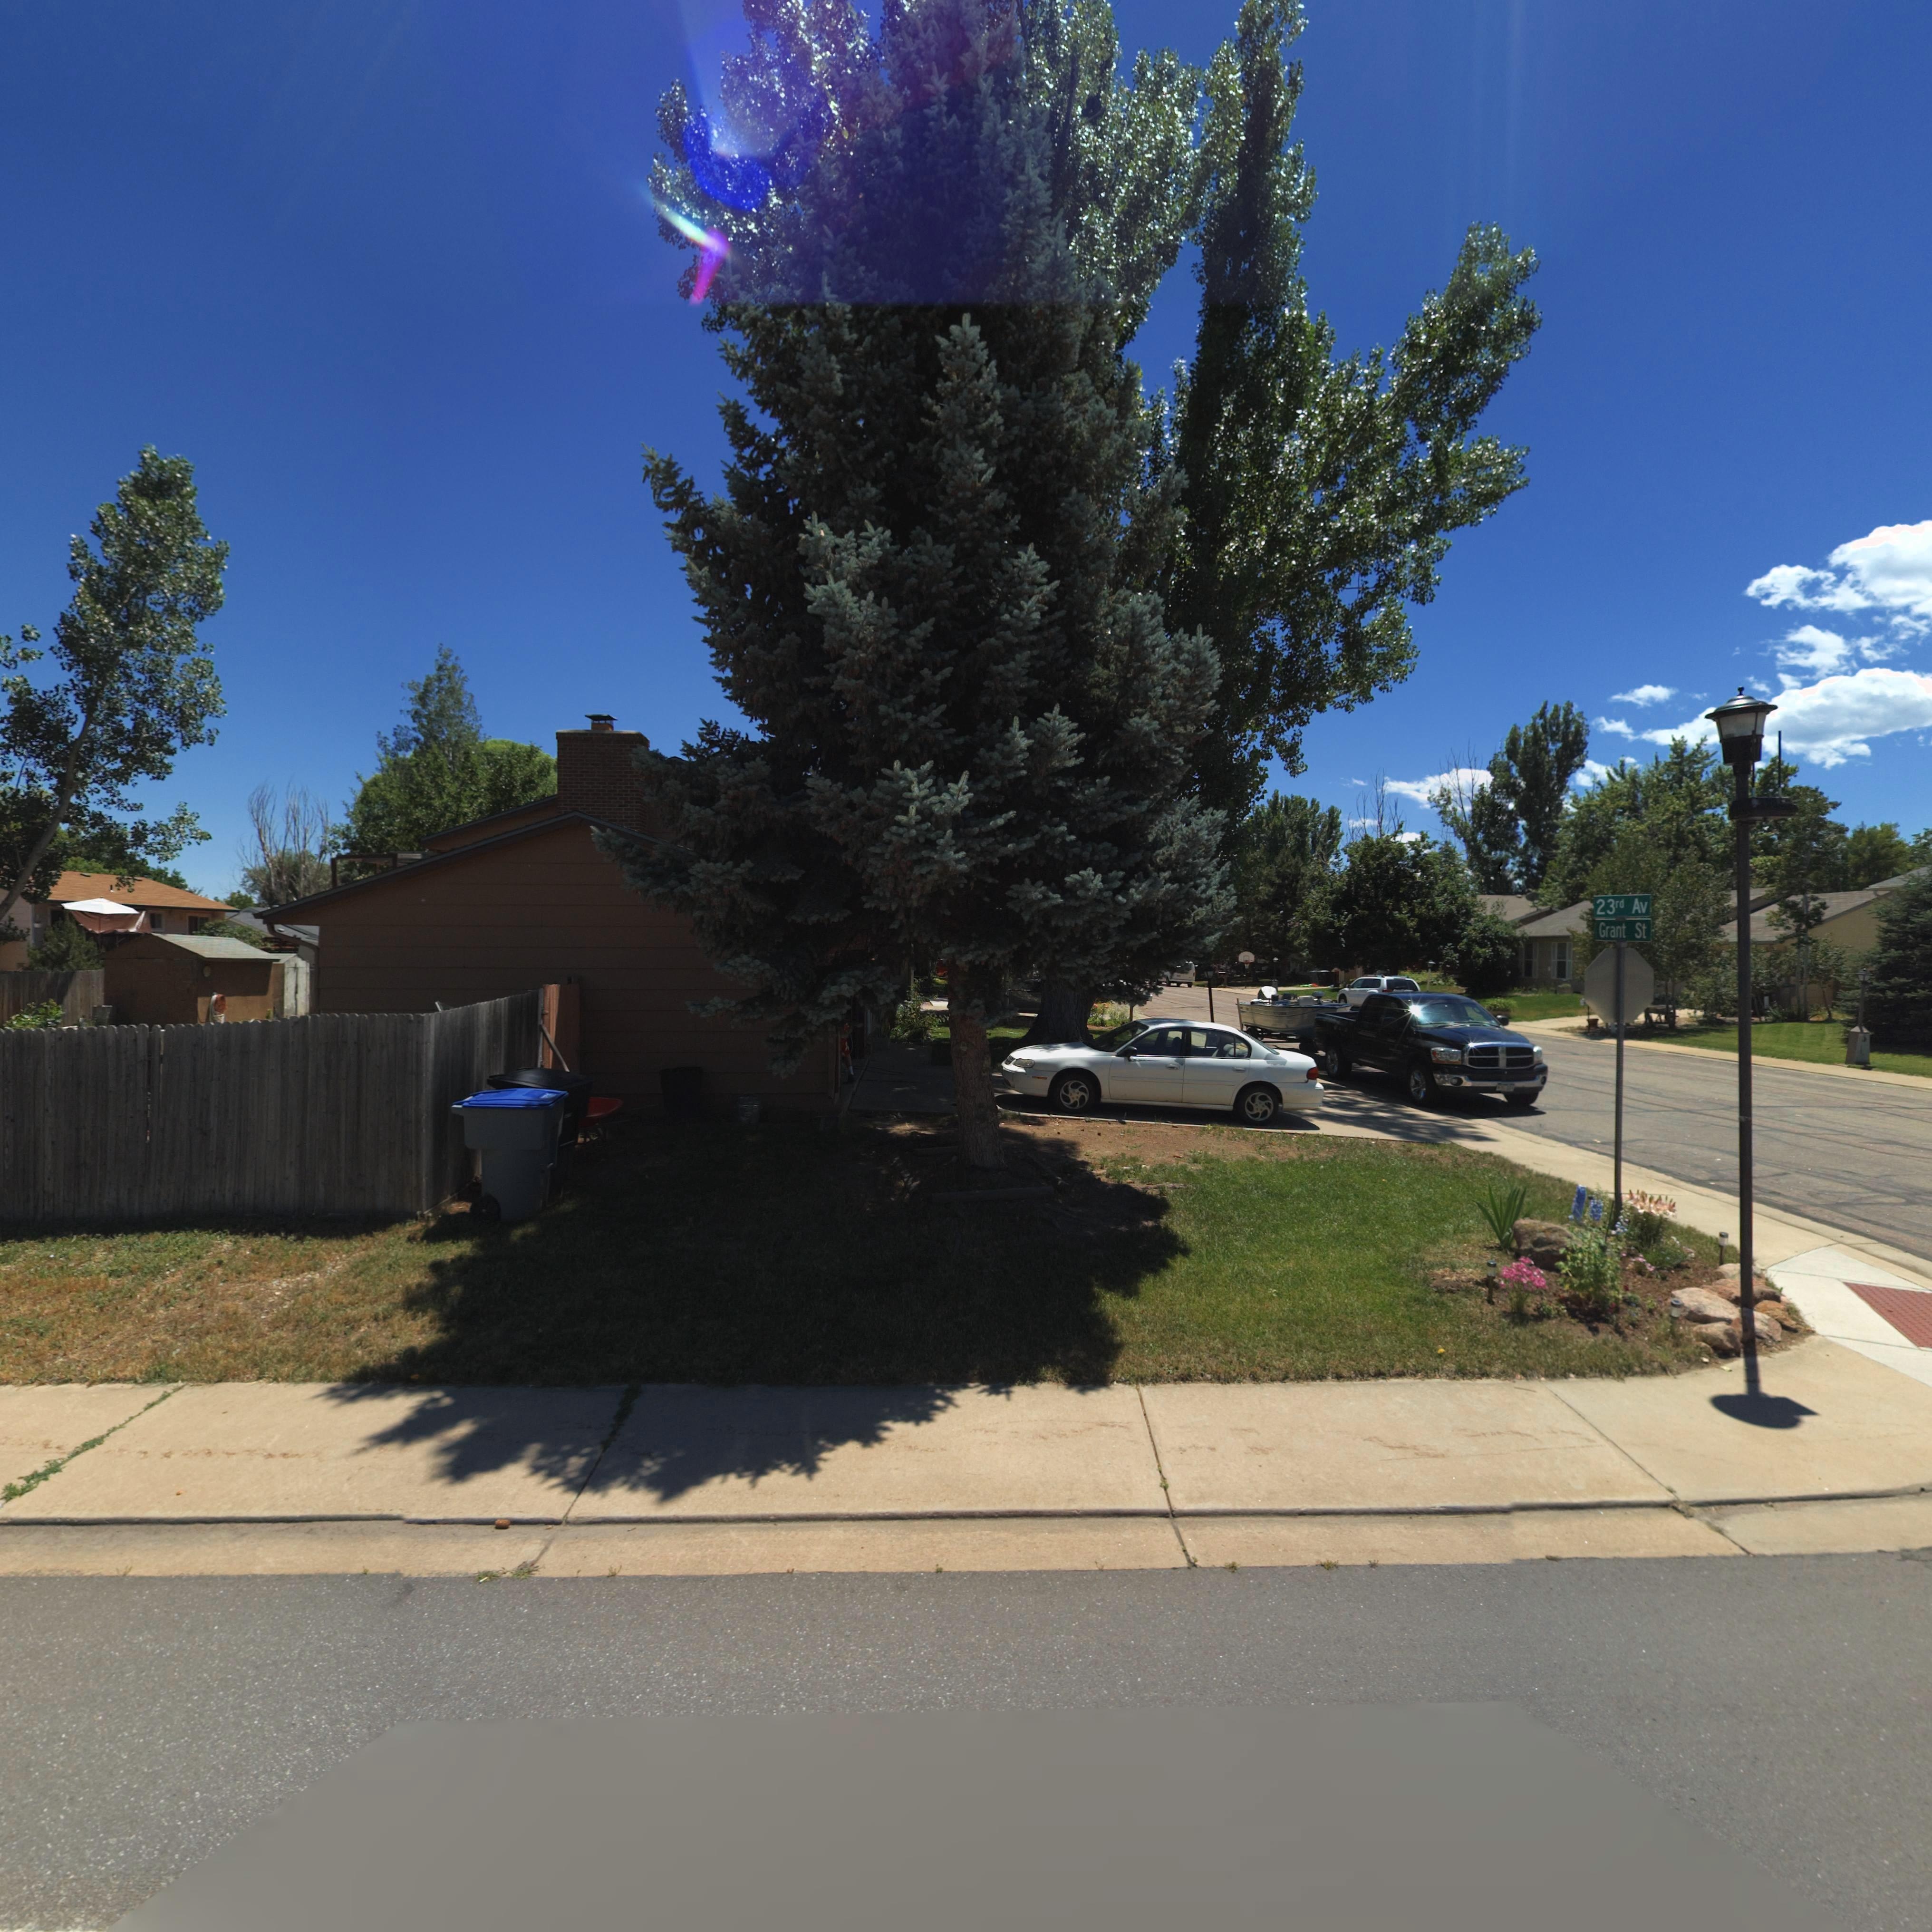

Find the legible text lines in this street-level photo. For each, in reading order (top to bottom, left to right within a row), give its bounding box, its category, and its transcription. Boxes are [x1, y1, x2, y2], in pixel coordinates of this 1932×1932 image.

[1596, 898, 1650, 914] StreetName: 23rd Av
[1598, 922, 1647, 939] StreetName: Grant St